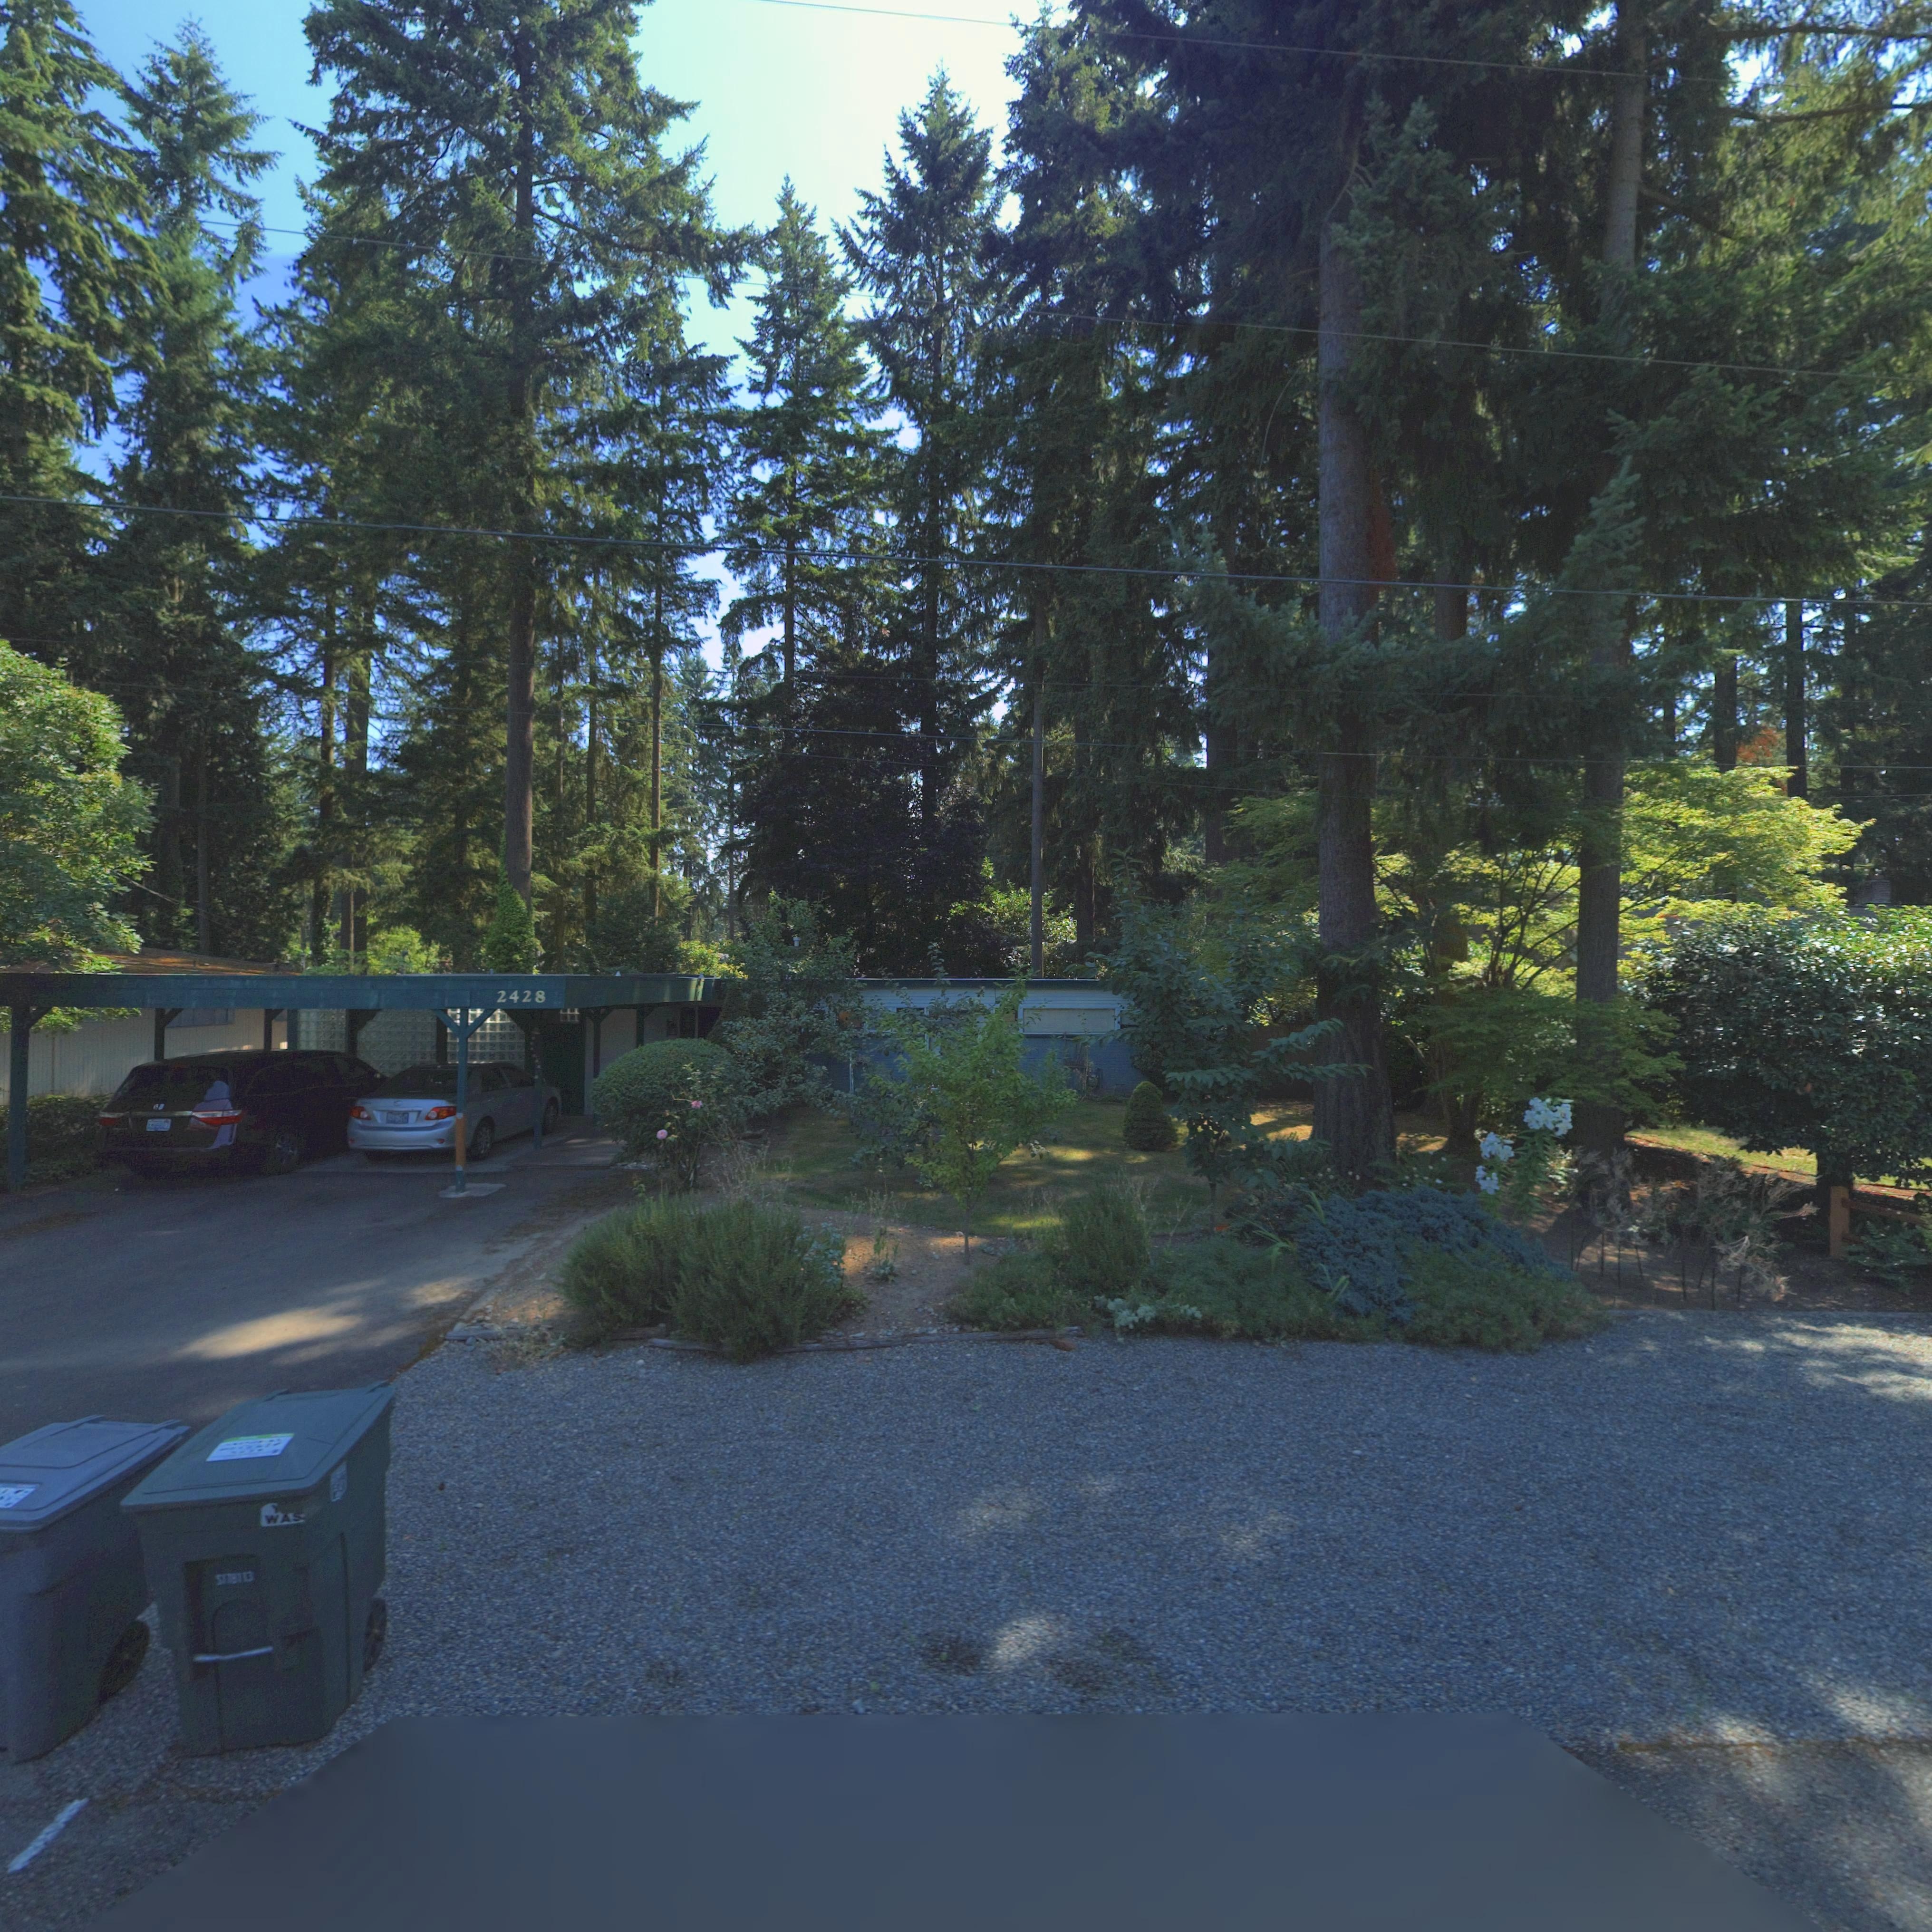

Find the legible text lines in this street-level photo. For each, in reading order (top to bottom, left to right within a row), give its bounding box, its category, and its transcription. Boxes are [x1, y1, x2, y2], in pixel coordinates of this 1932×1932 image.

[497, 990, 545, 1002] StreetNumber: 2428